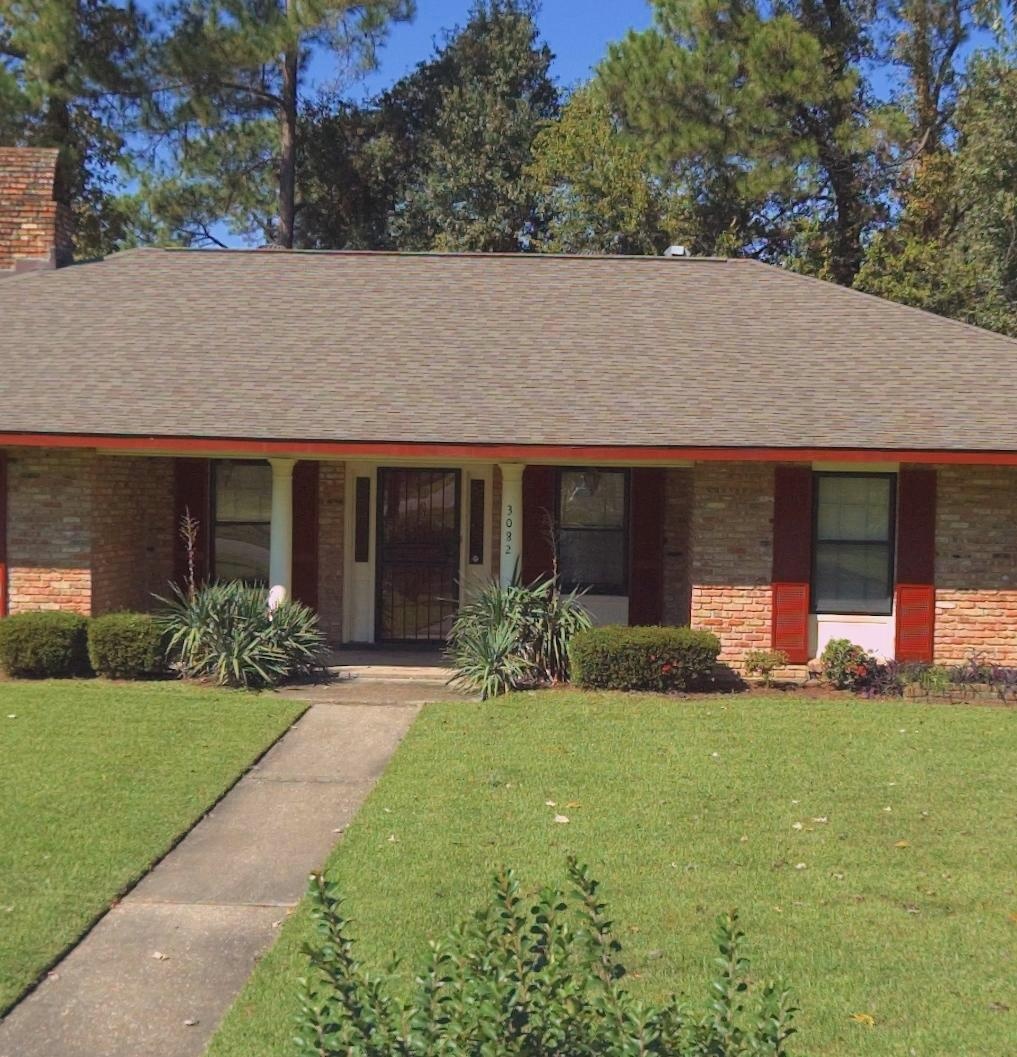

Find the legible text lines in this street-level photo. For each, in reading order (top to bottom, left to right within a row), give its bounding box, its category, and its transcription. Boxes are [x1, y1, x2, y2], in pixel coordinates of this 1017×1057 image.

[504, 503, 514, 556] StreetNumber: 3082